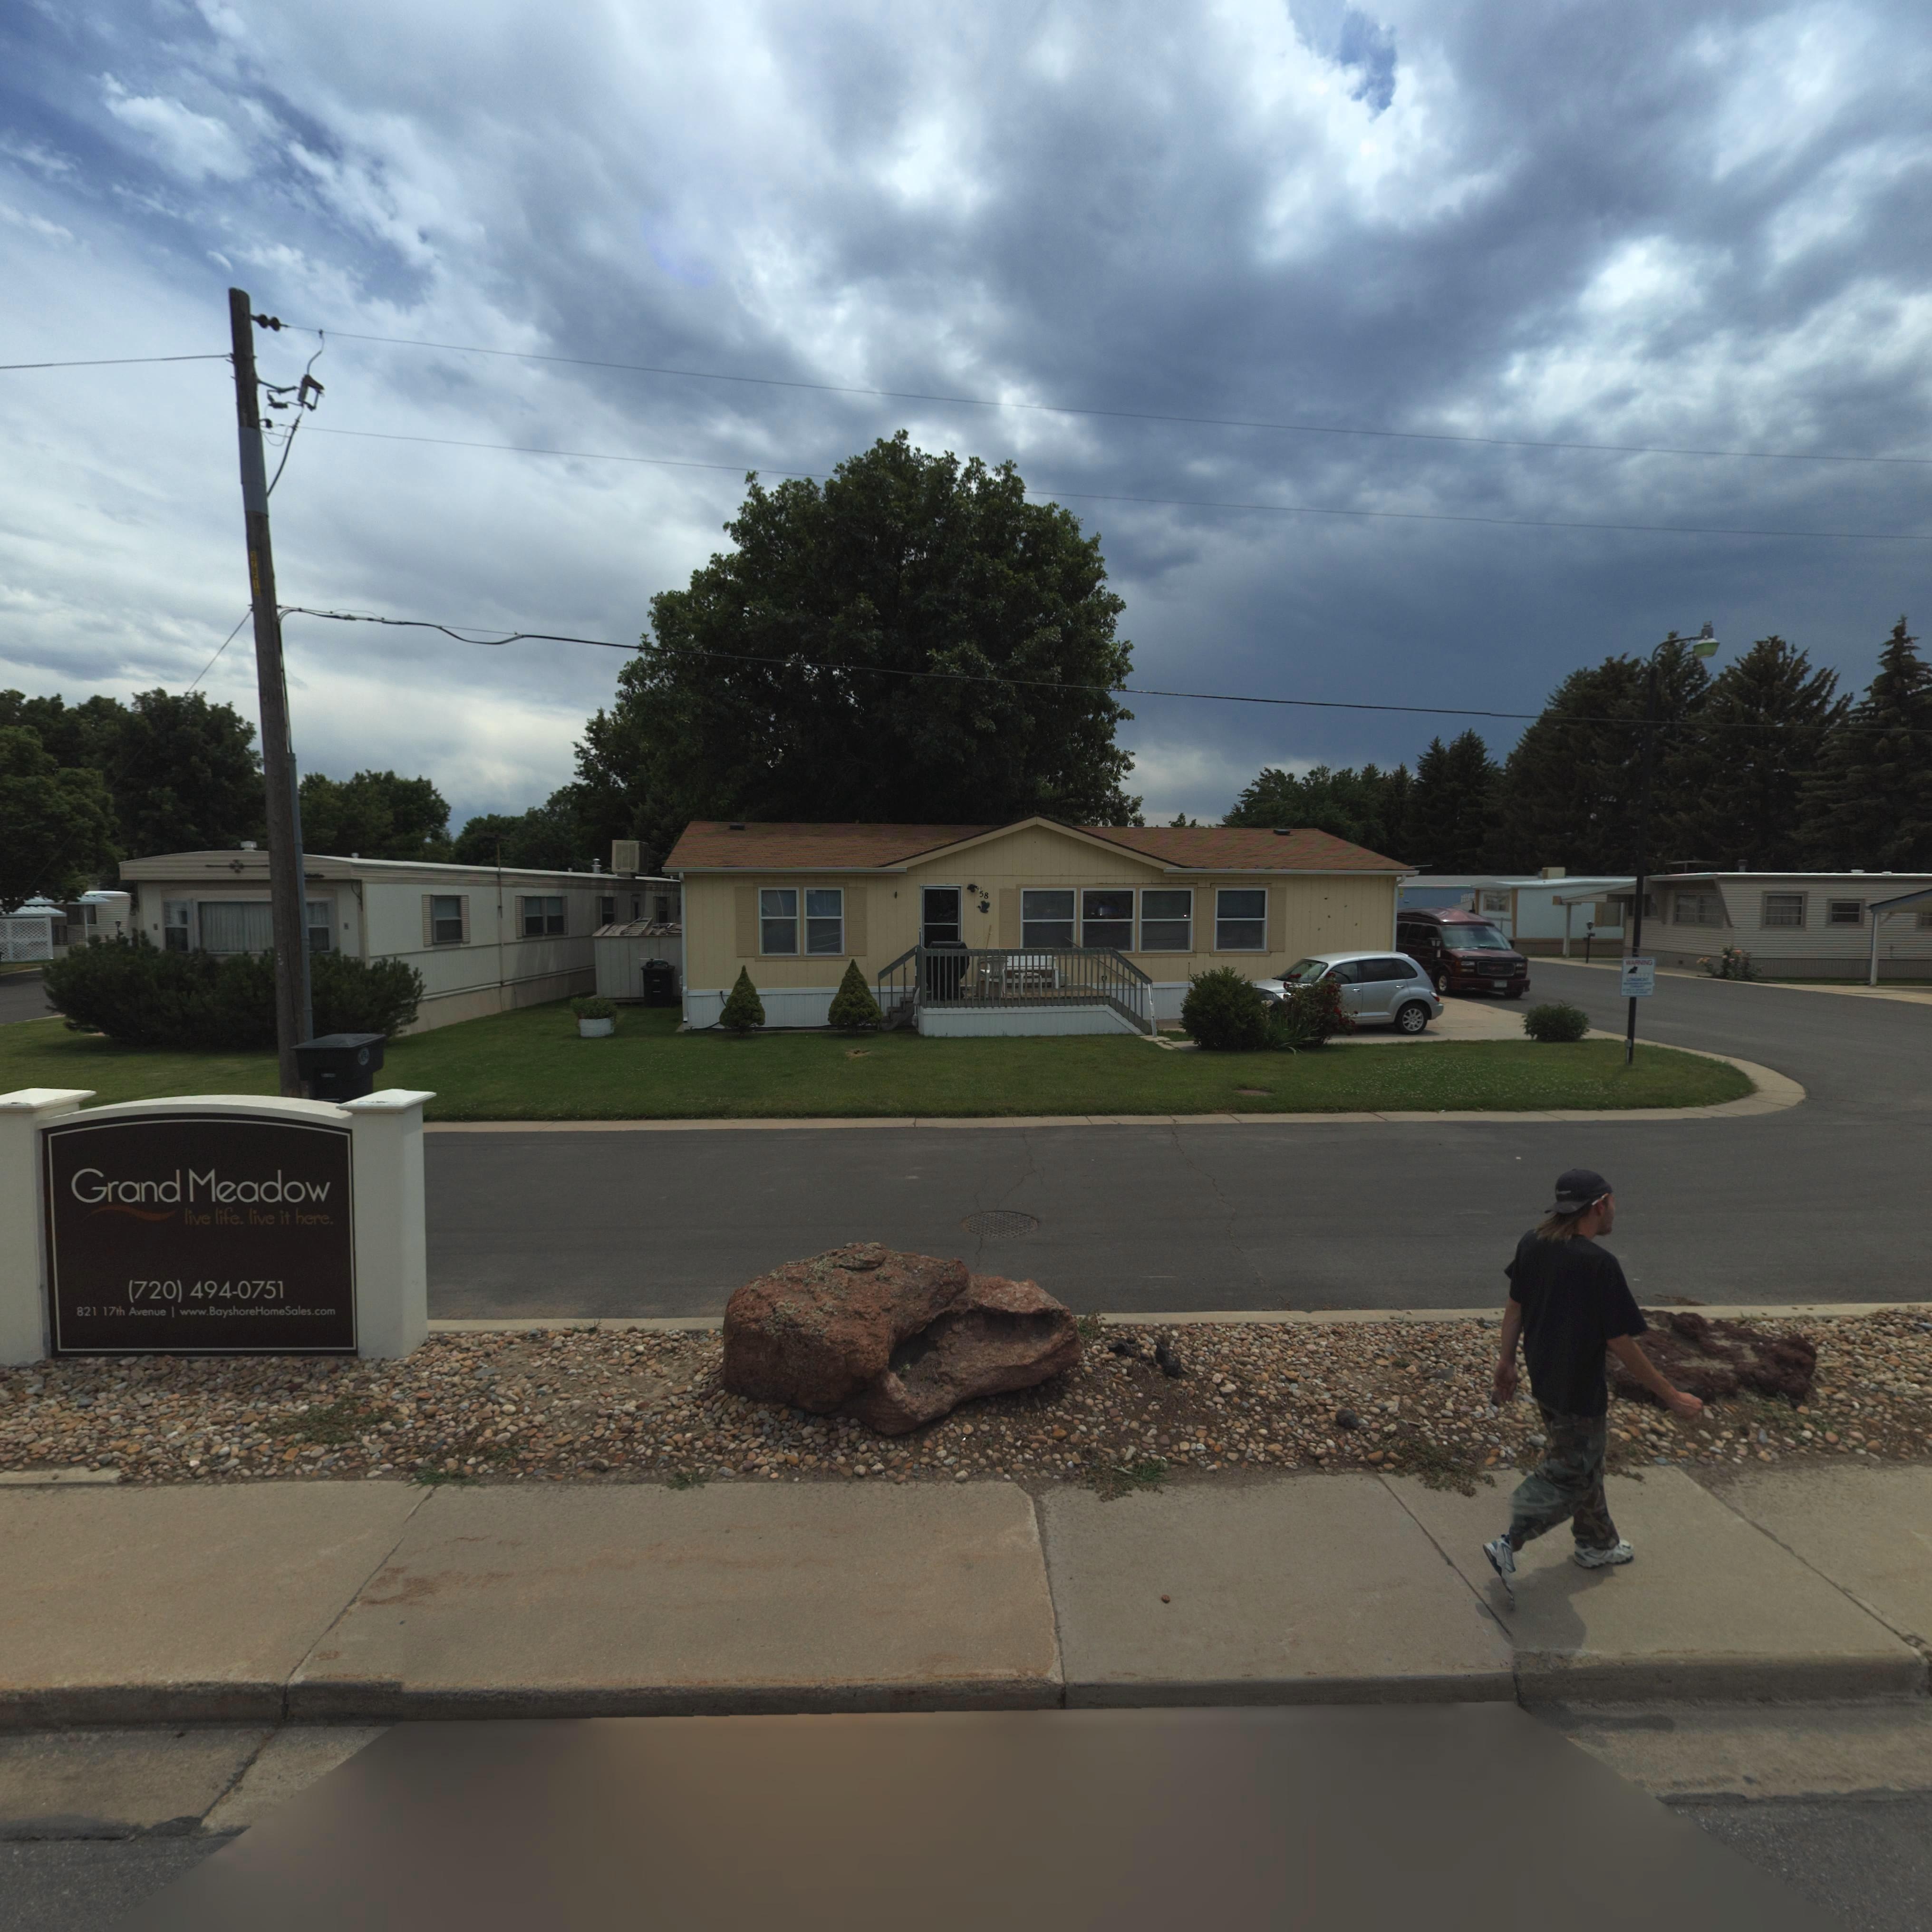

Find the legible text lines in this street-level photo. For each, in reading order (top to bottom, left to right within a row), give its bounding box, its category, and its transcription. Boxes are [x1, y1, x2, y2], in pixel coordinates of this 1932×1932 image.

[978, 889, 989, 900] StreetNumber: 58
[69, 1165, 333, 1205] BusinessName: Grand Meadow
[75, 1305, 97, 1317] StreetNumber: 821
[102, 1305, 167, 1316] StreetName: 17th Avenue